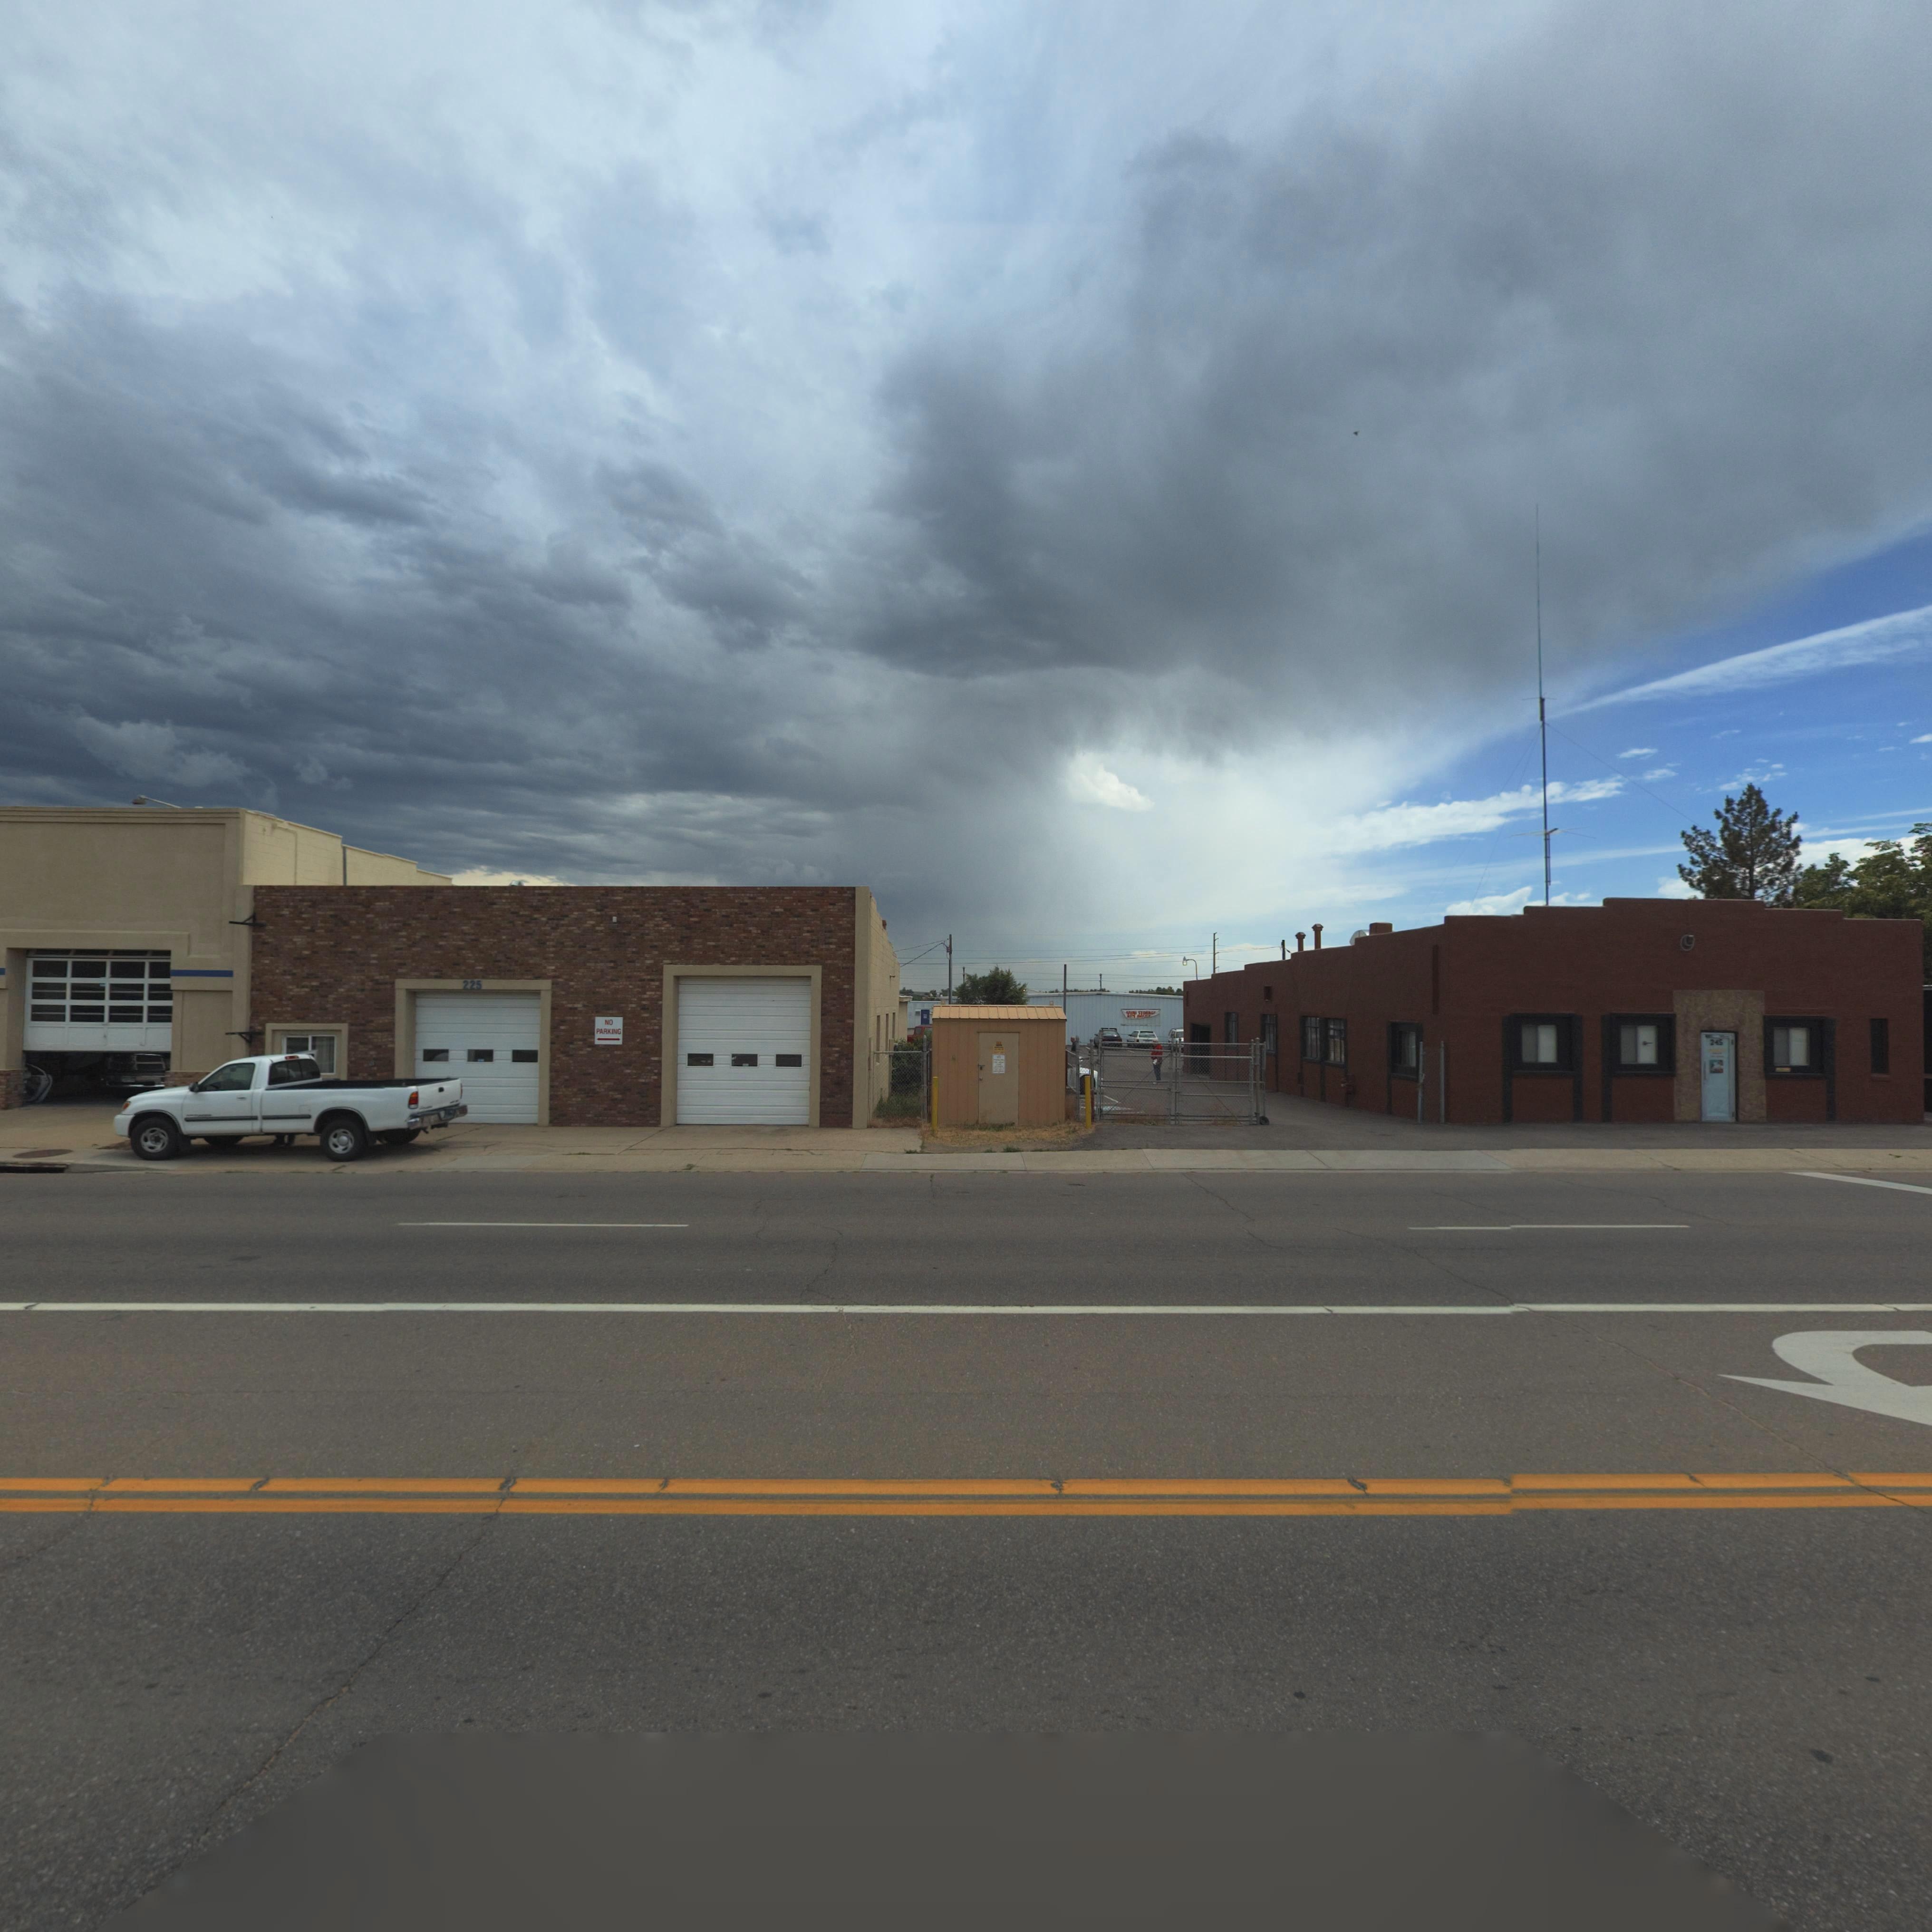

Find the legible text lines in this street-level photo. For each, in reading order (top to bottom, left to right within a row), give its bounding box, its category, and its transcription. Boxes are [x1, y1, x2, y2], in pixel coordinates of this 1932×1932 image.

[462, 979, 483, 990] StreetNumber: 225
[1709, 1038, 1723, 1045] StreetNumber: 245